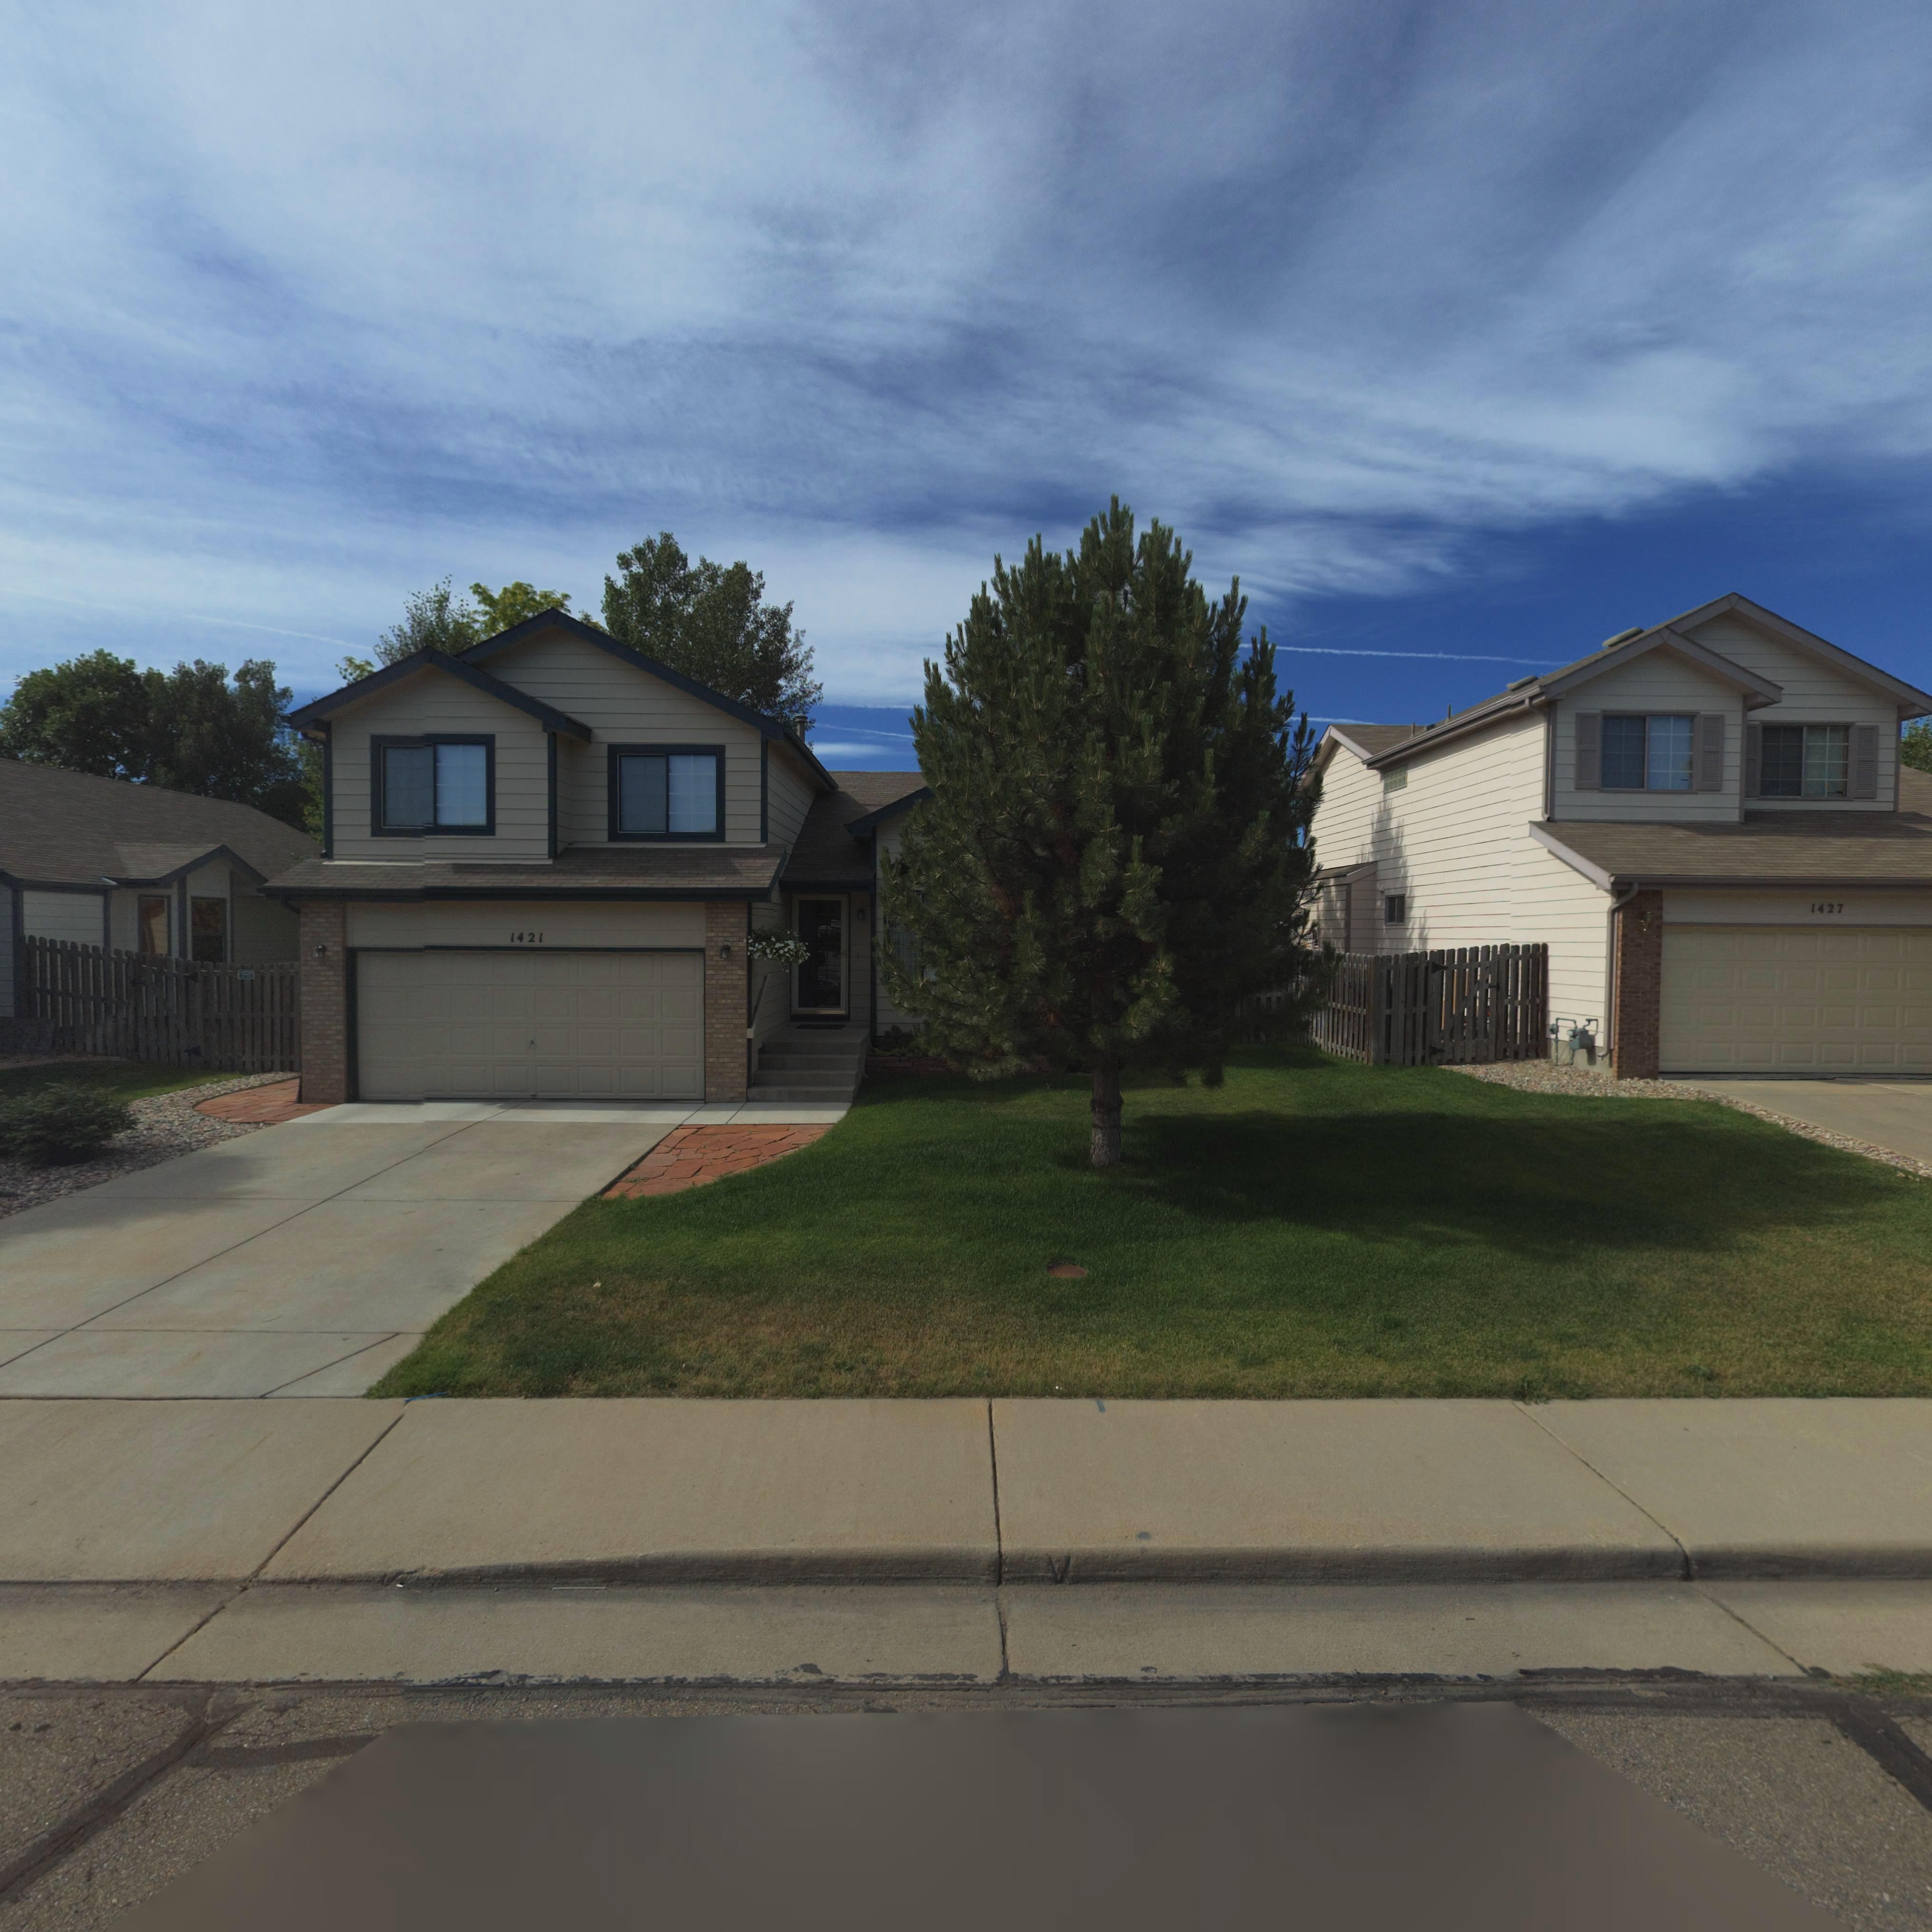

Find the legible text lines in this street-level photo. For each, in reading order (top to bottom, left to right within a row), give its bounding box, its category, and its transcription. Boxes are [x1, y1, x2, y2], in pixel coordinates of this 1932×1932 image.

[1811, 902, 1845, 914] StreetNumber: 1427
[510, 931, 543, 944] StreetNumber: 1421